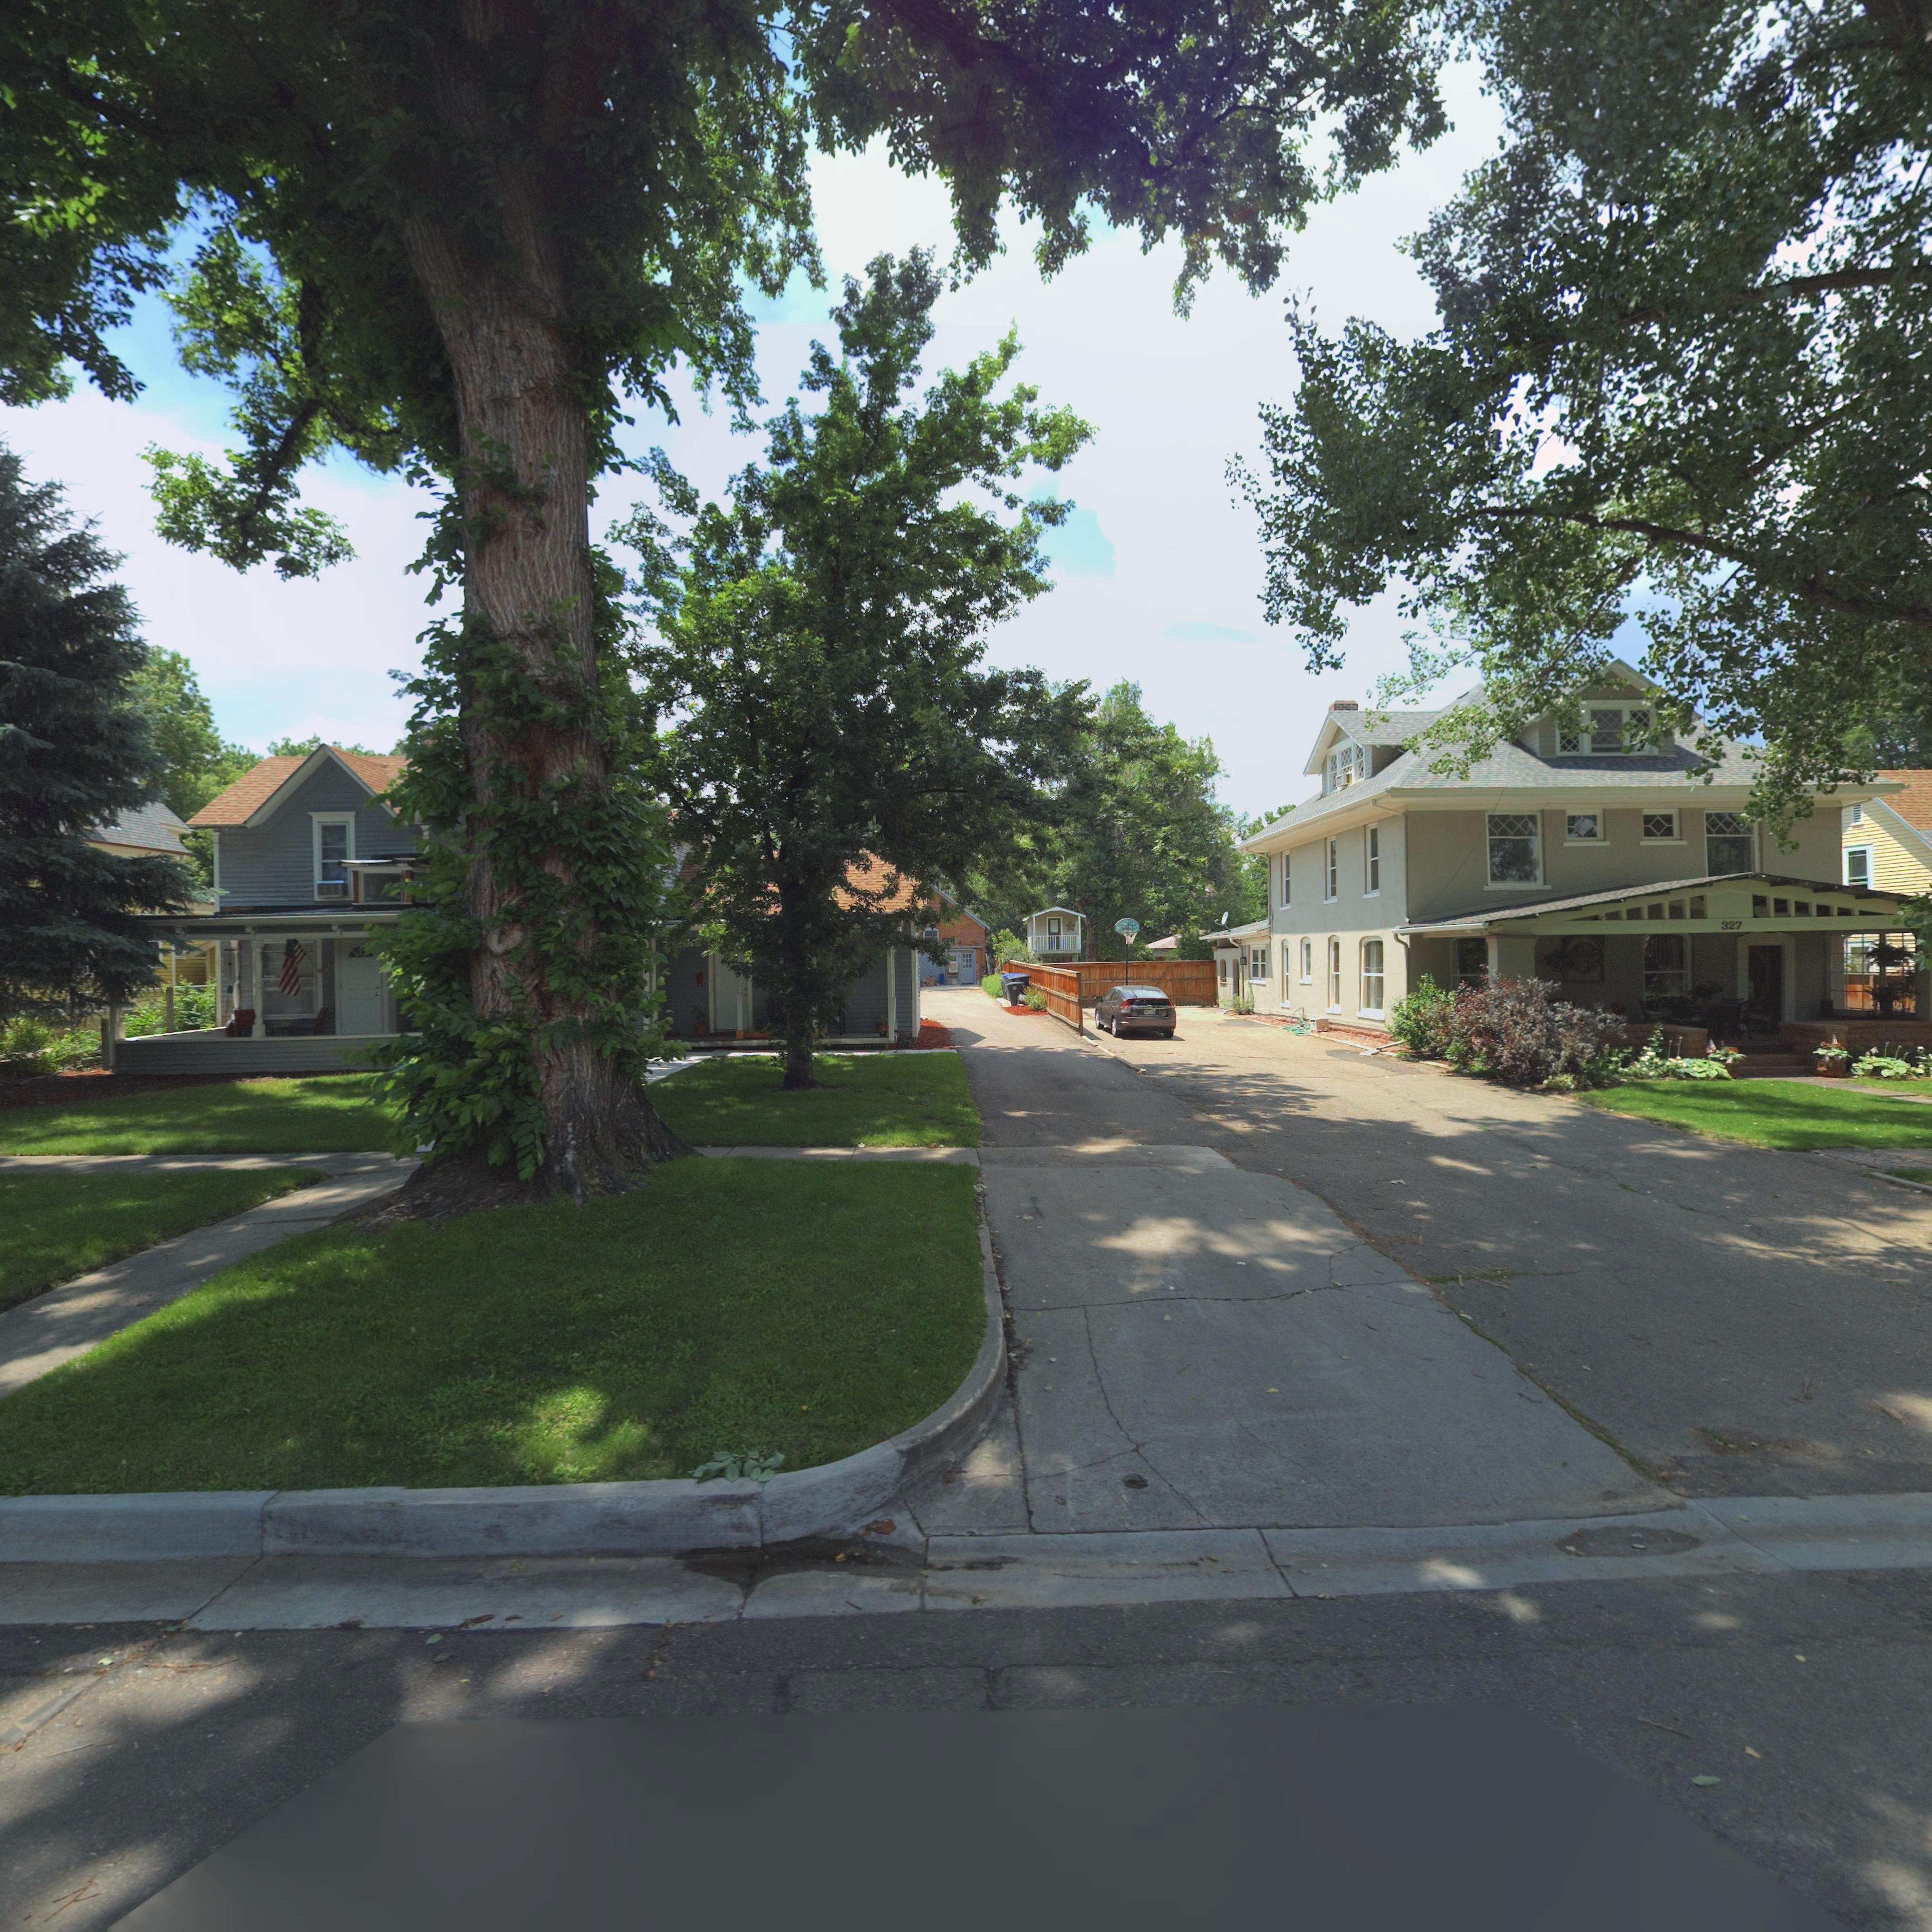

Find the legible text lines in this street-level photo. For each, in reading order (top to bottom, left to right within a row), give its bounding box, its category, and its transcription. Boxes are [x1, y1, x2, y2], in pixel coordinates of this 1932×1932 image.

[1721, 921, 1742, 930] StreetNumber: 327